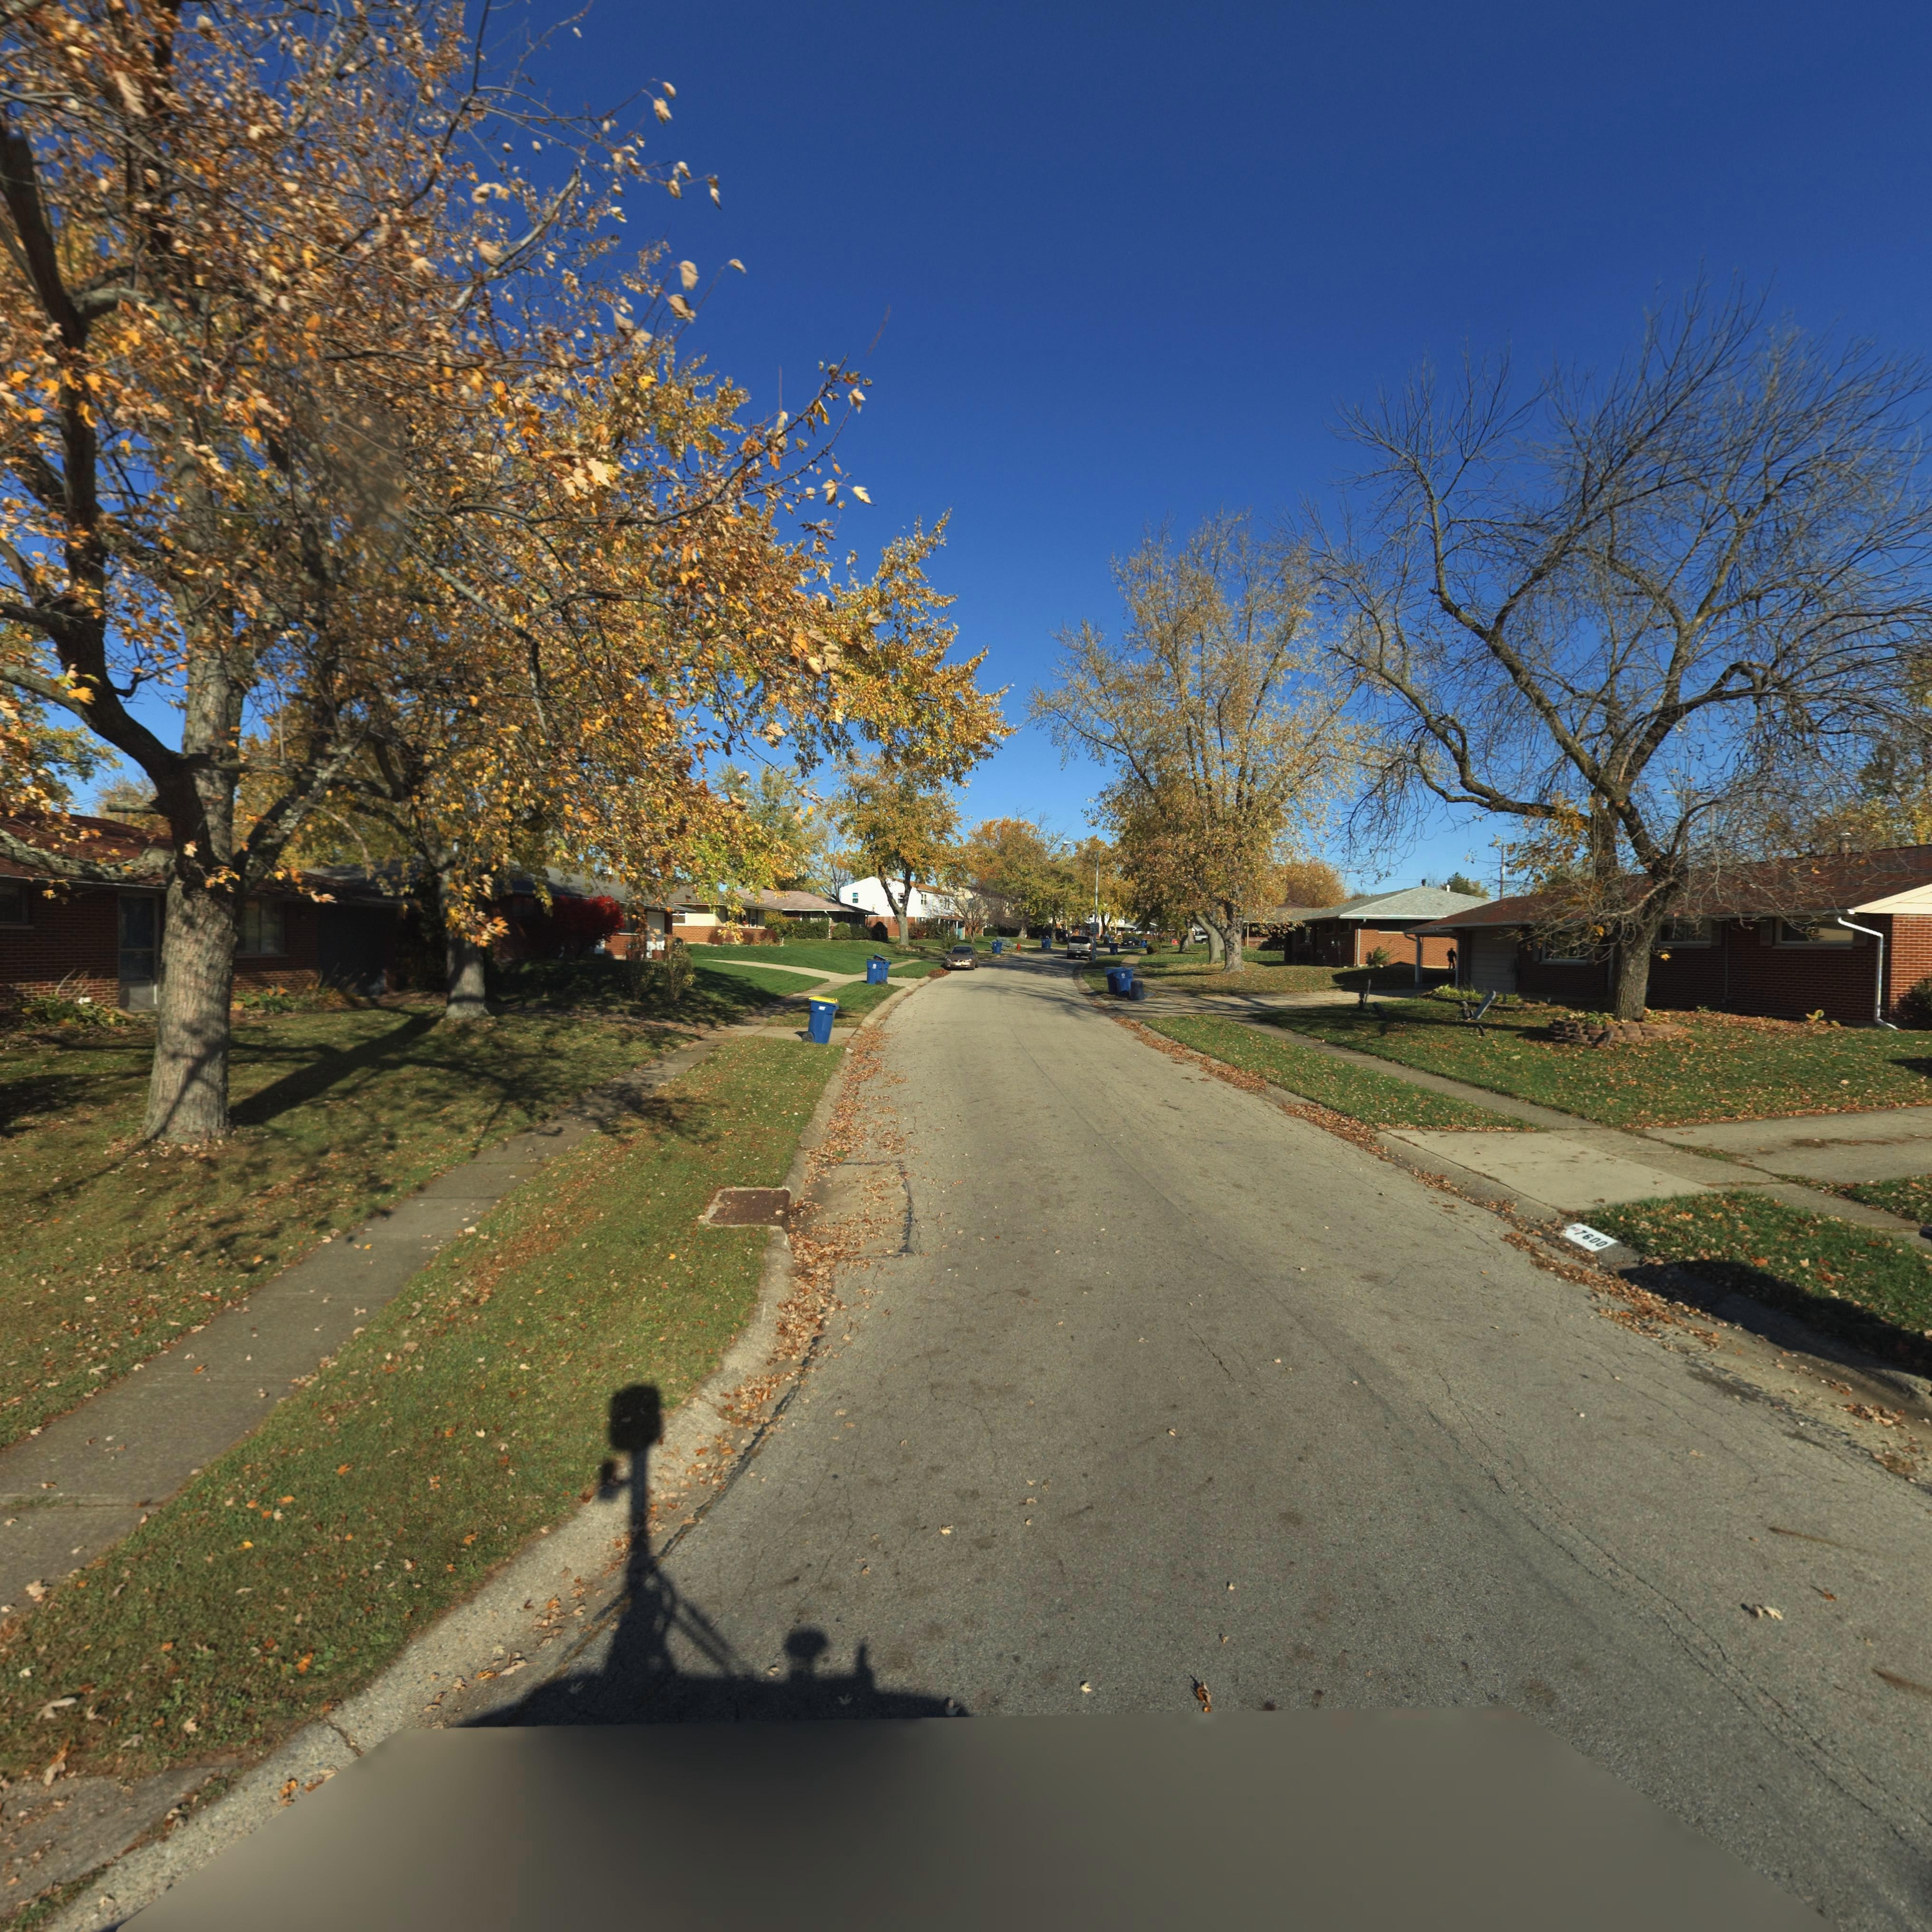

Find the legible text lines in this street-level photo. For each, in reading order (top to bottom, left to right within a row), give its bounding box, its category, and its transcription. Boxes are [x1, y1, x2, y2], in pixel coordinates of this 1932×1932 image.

[1572, 1228, 1610, 1249] StreetNumber: 7600